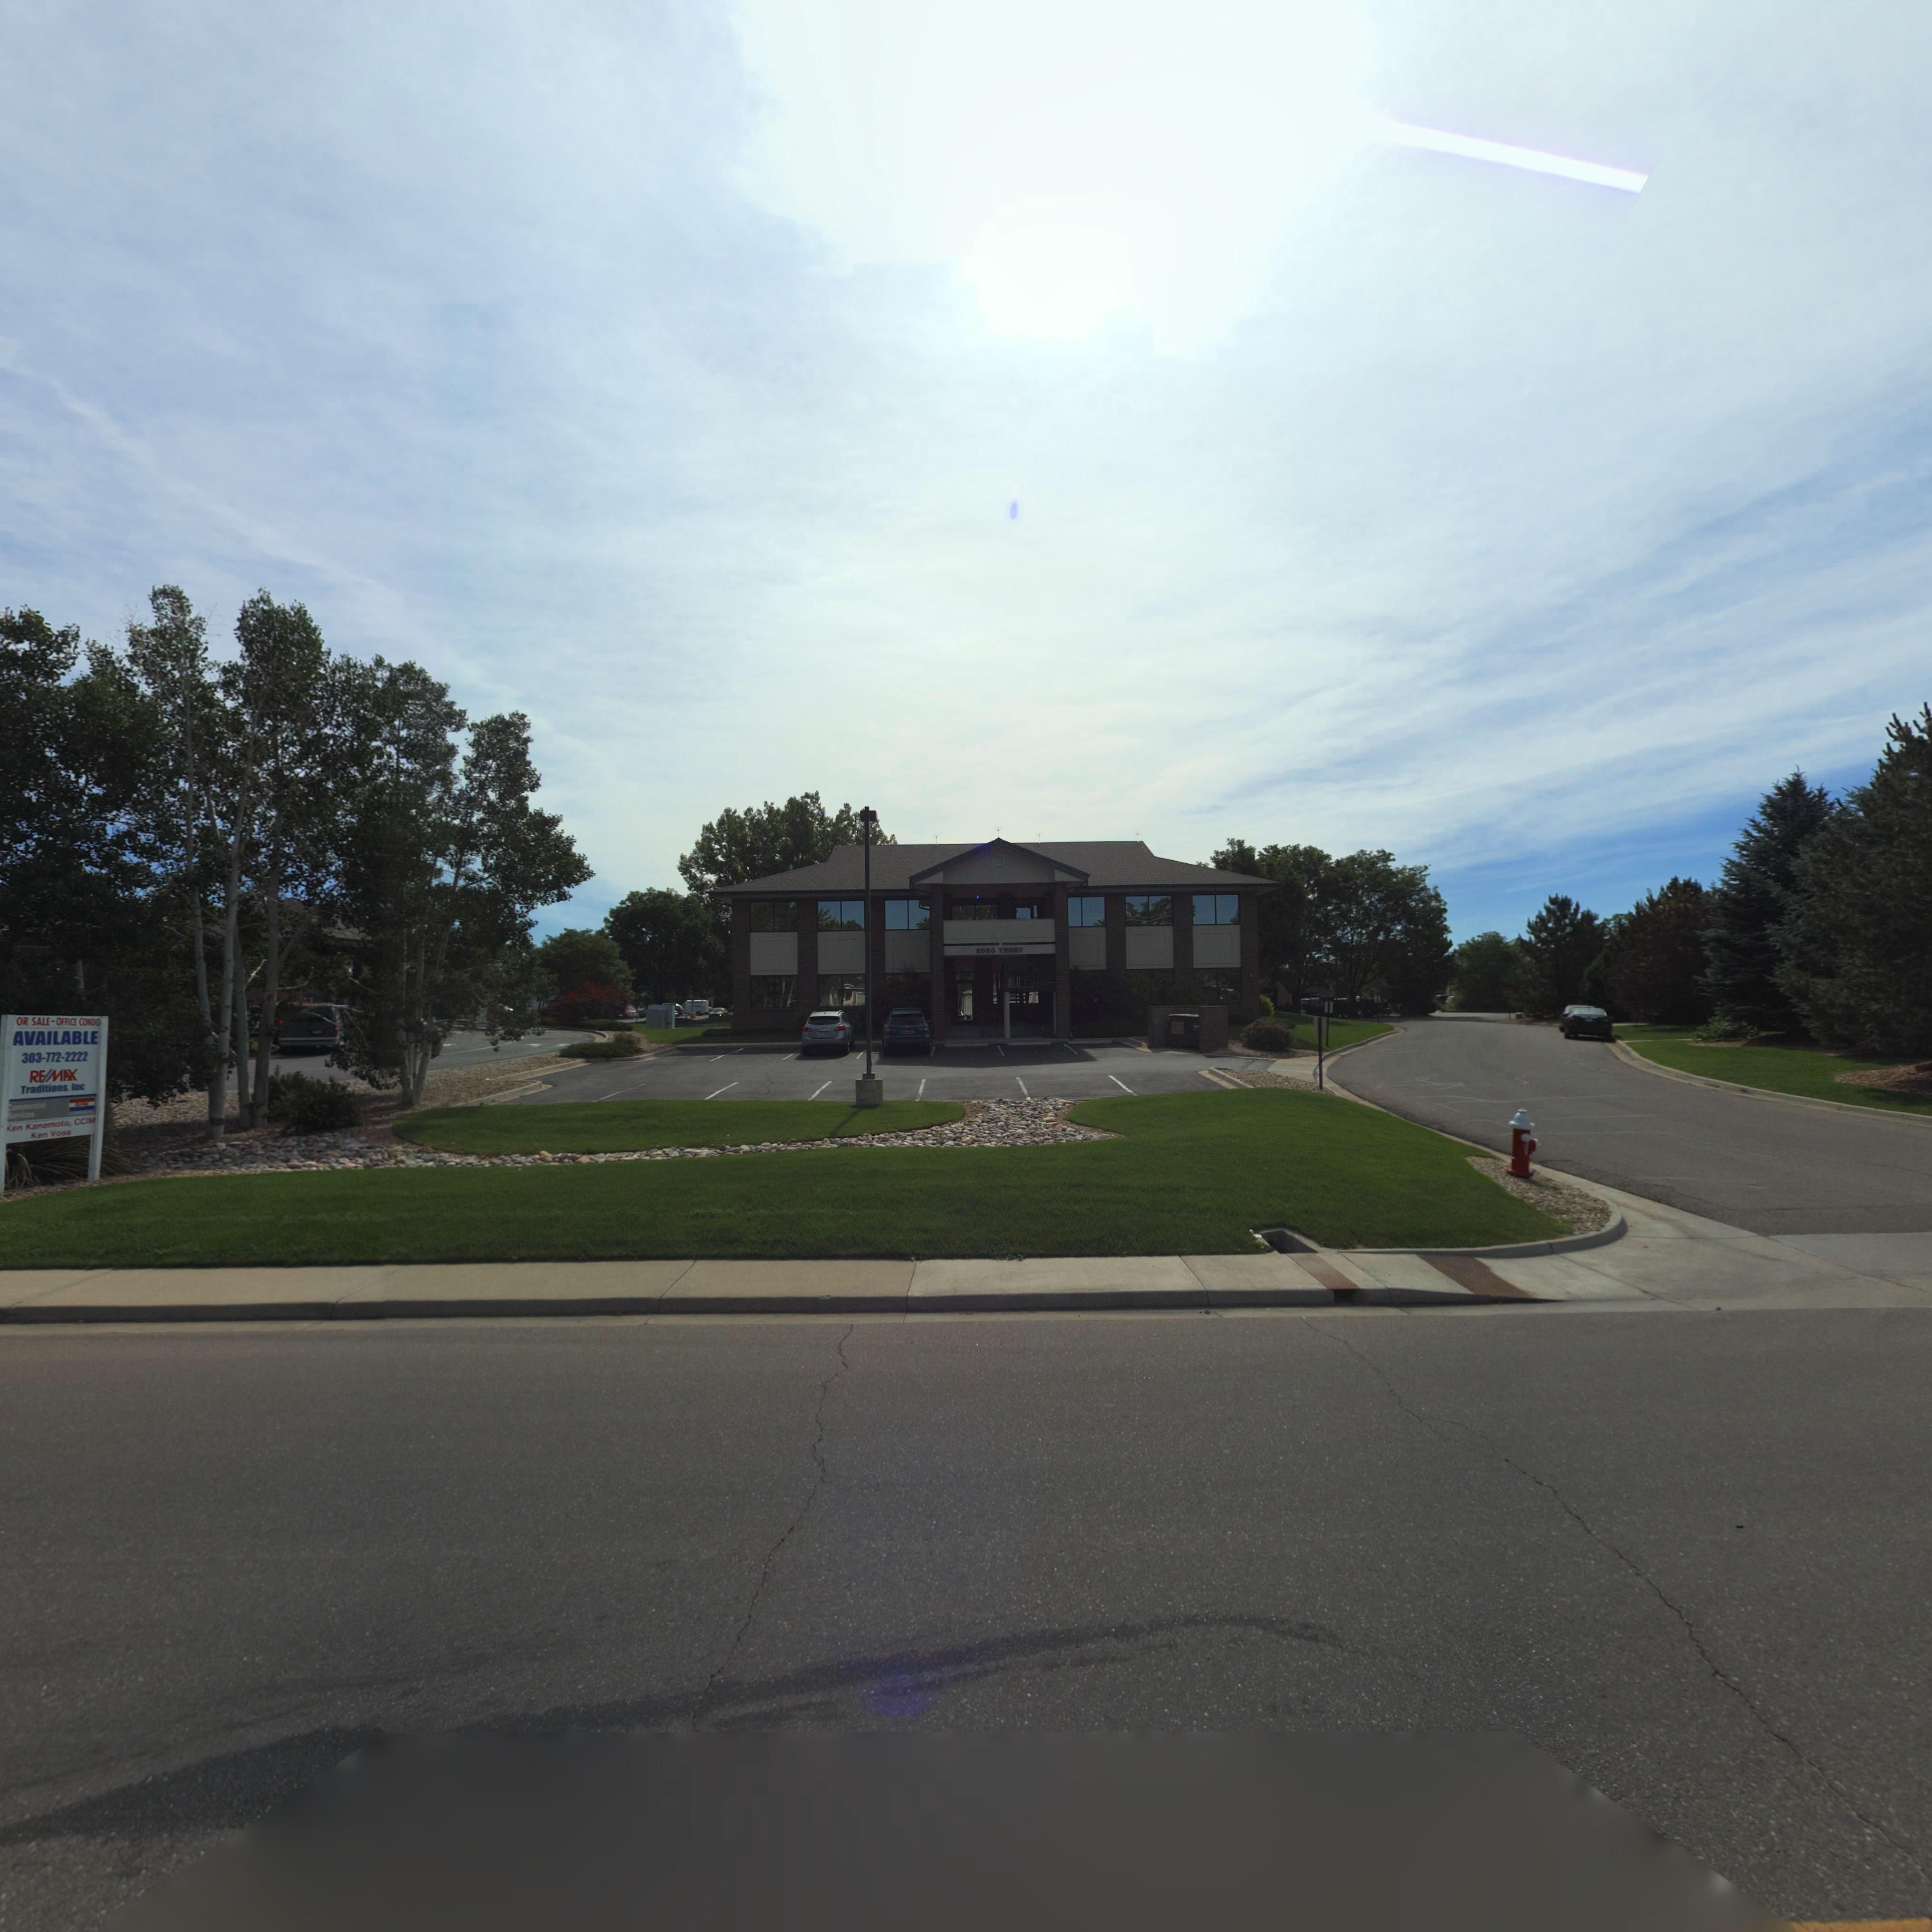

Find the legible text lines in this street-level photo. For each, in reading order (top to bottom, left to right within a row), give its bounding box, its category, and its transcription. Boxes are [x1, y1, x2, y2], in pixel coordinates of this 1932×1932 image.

[975, 947, 995, 954] StreetNumber: 2050
[998, 947, 1024, 953] StreetName: TERRY